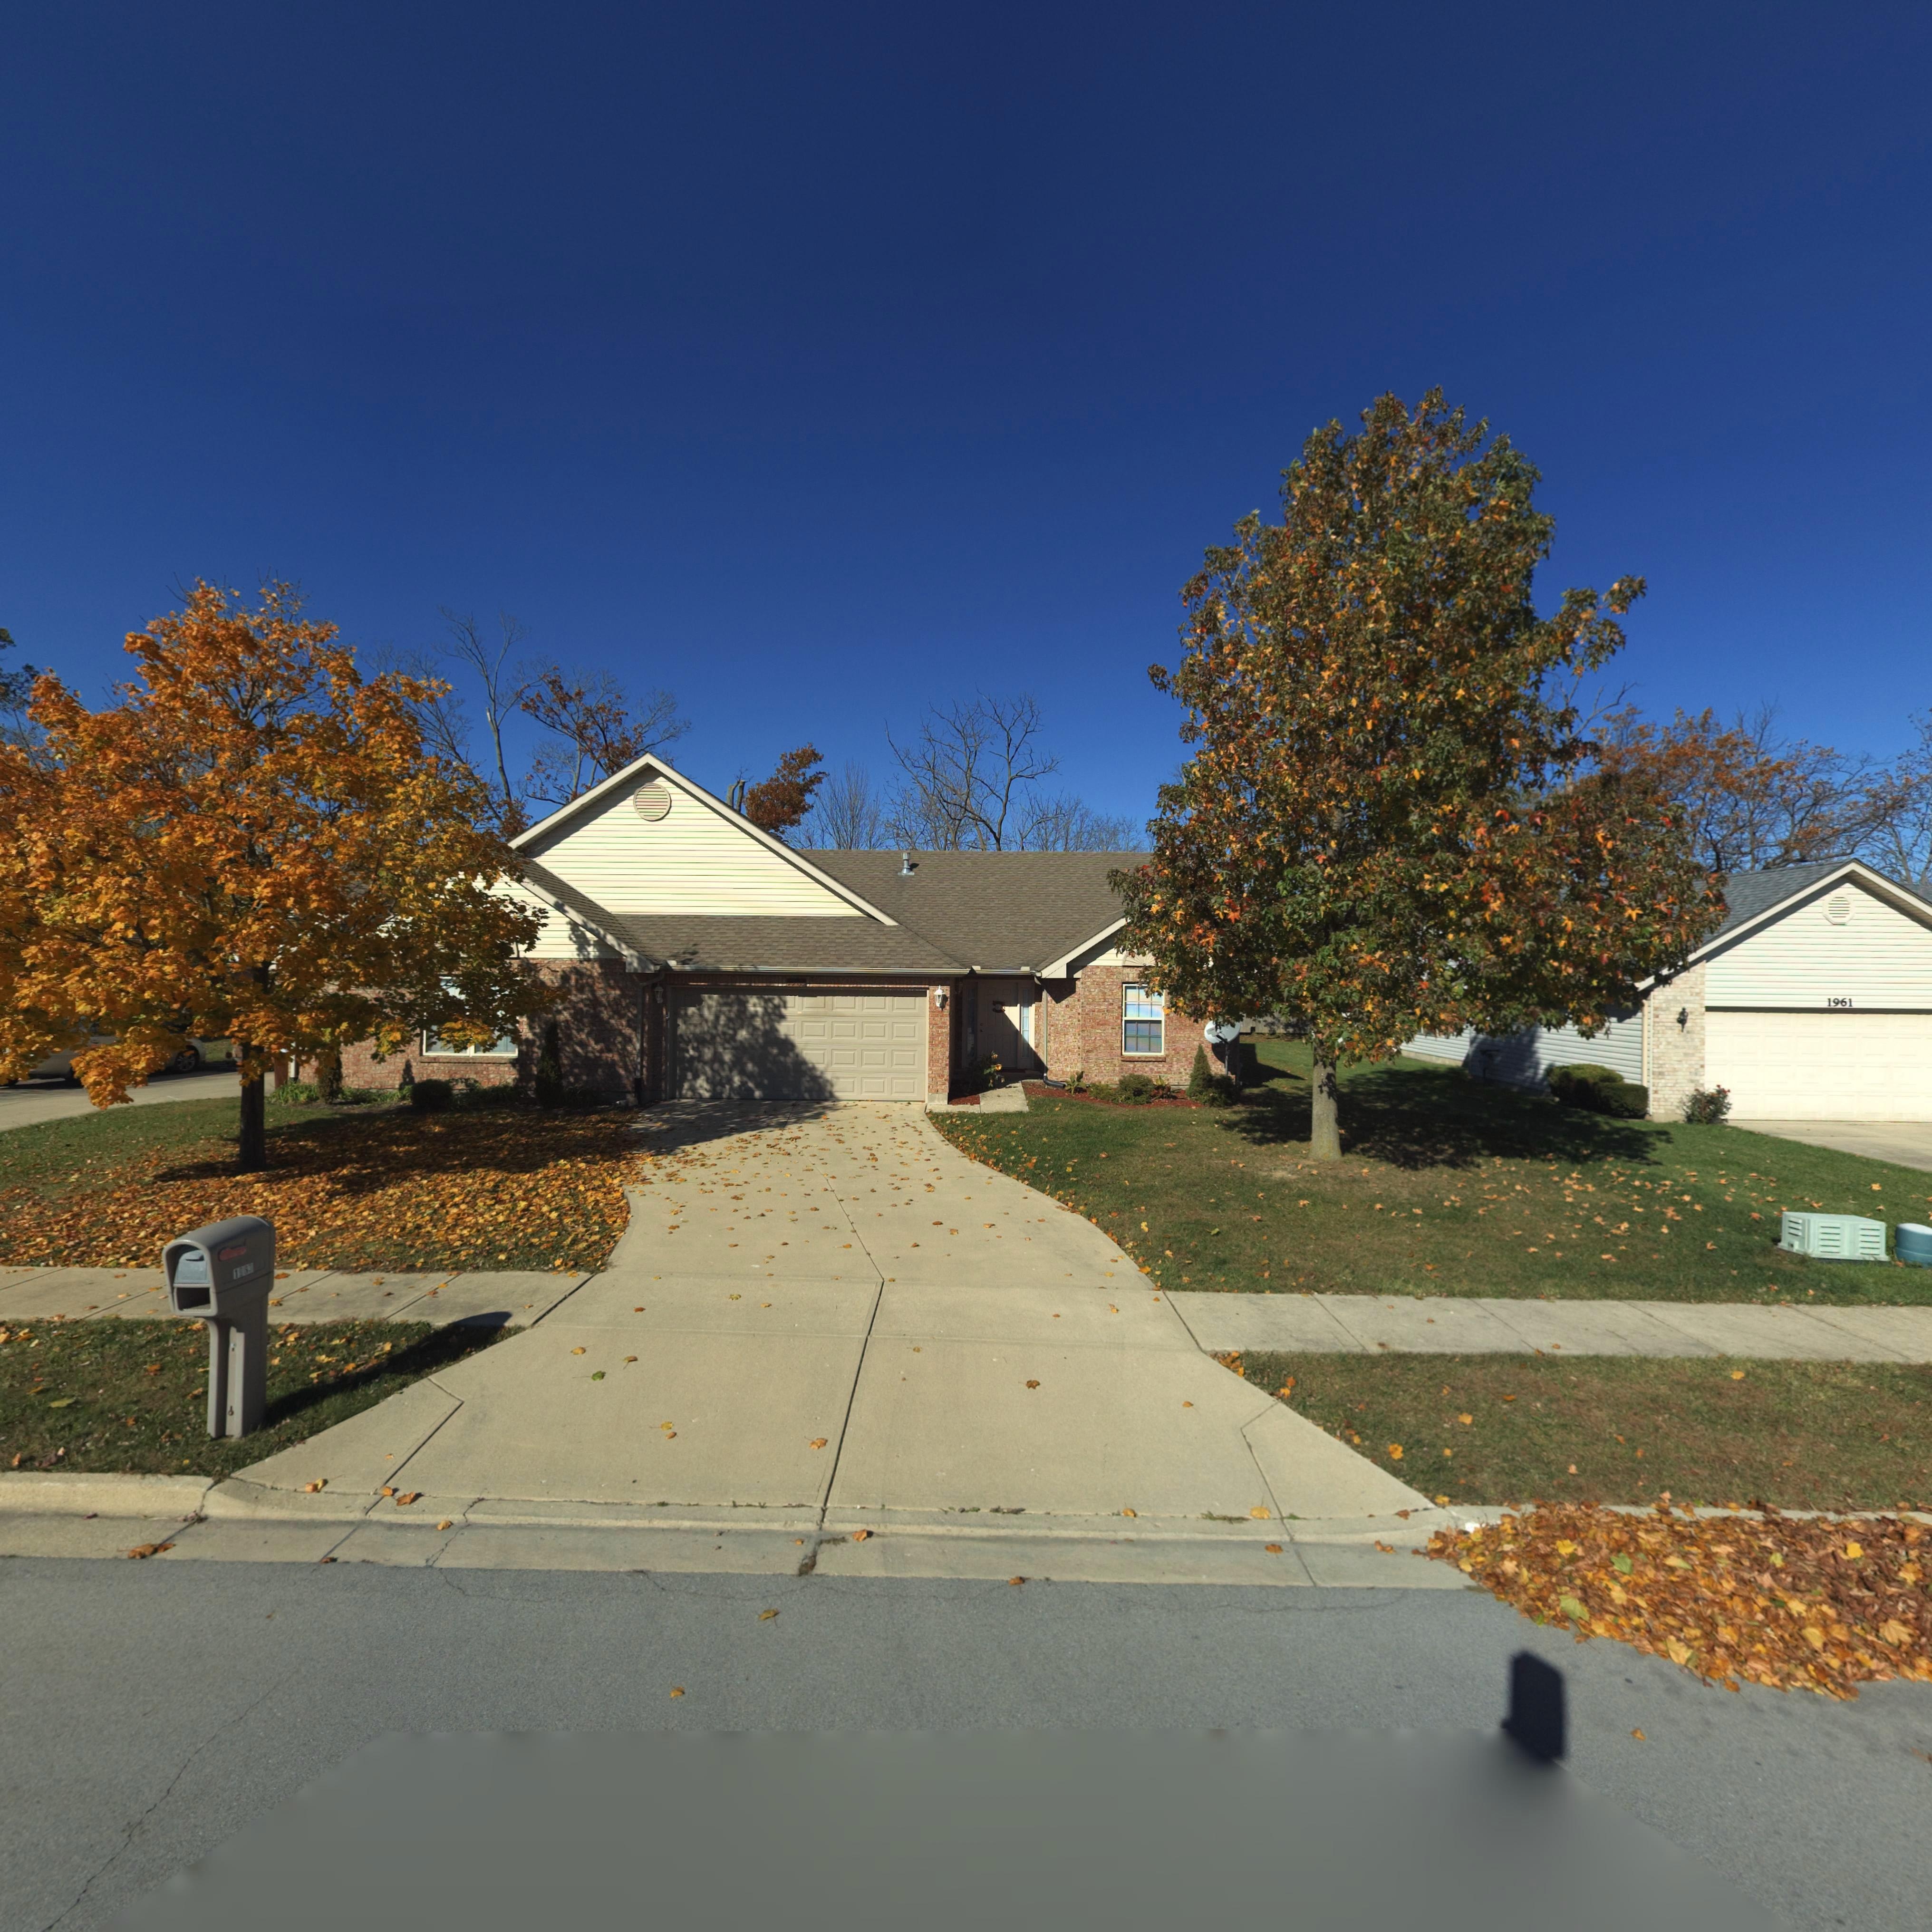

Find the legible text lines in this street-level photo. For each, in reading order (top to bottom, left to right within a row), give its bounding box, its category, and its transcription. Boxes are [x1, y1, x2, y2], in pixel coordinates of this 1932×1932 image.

[1826, 997, 1854, 1008] StreetNumber: 1961
[233, 1261, 254, 1280] StreetNumber: 1***